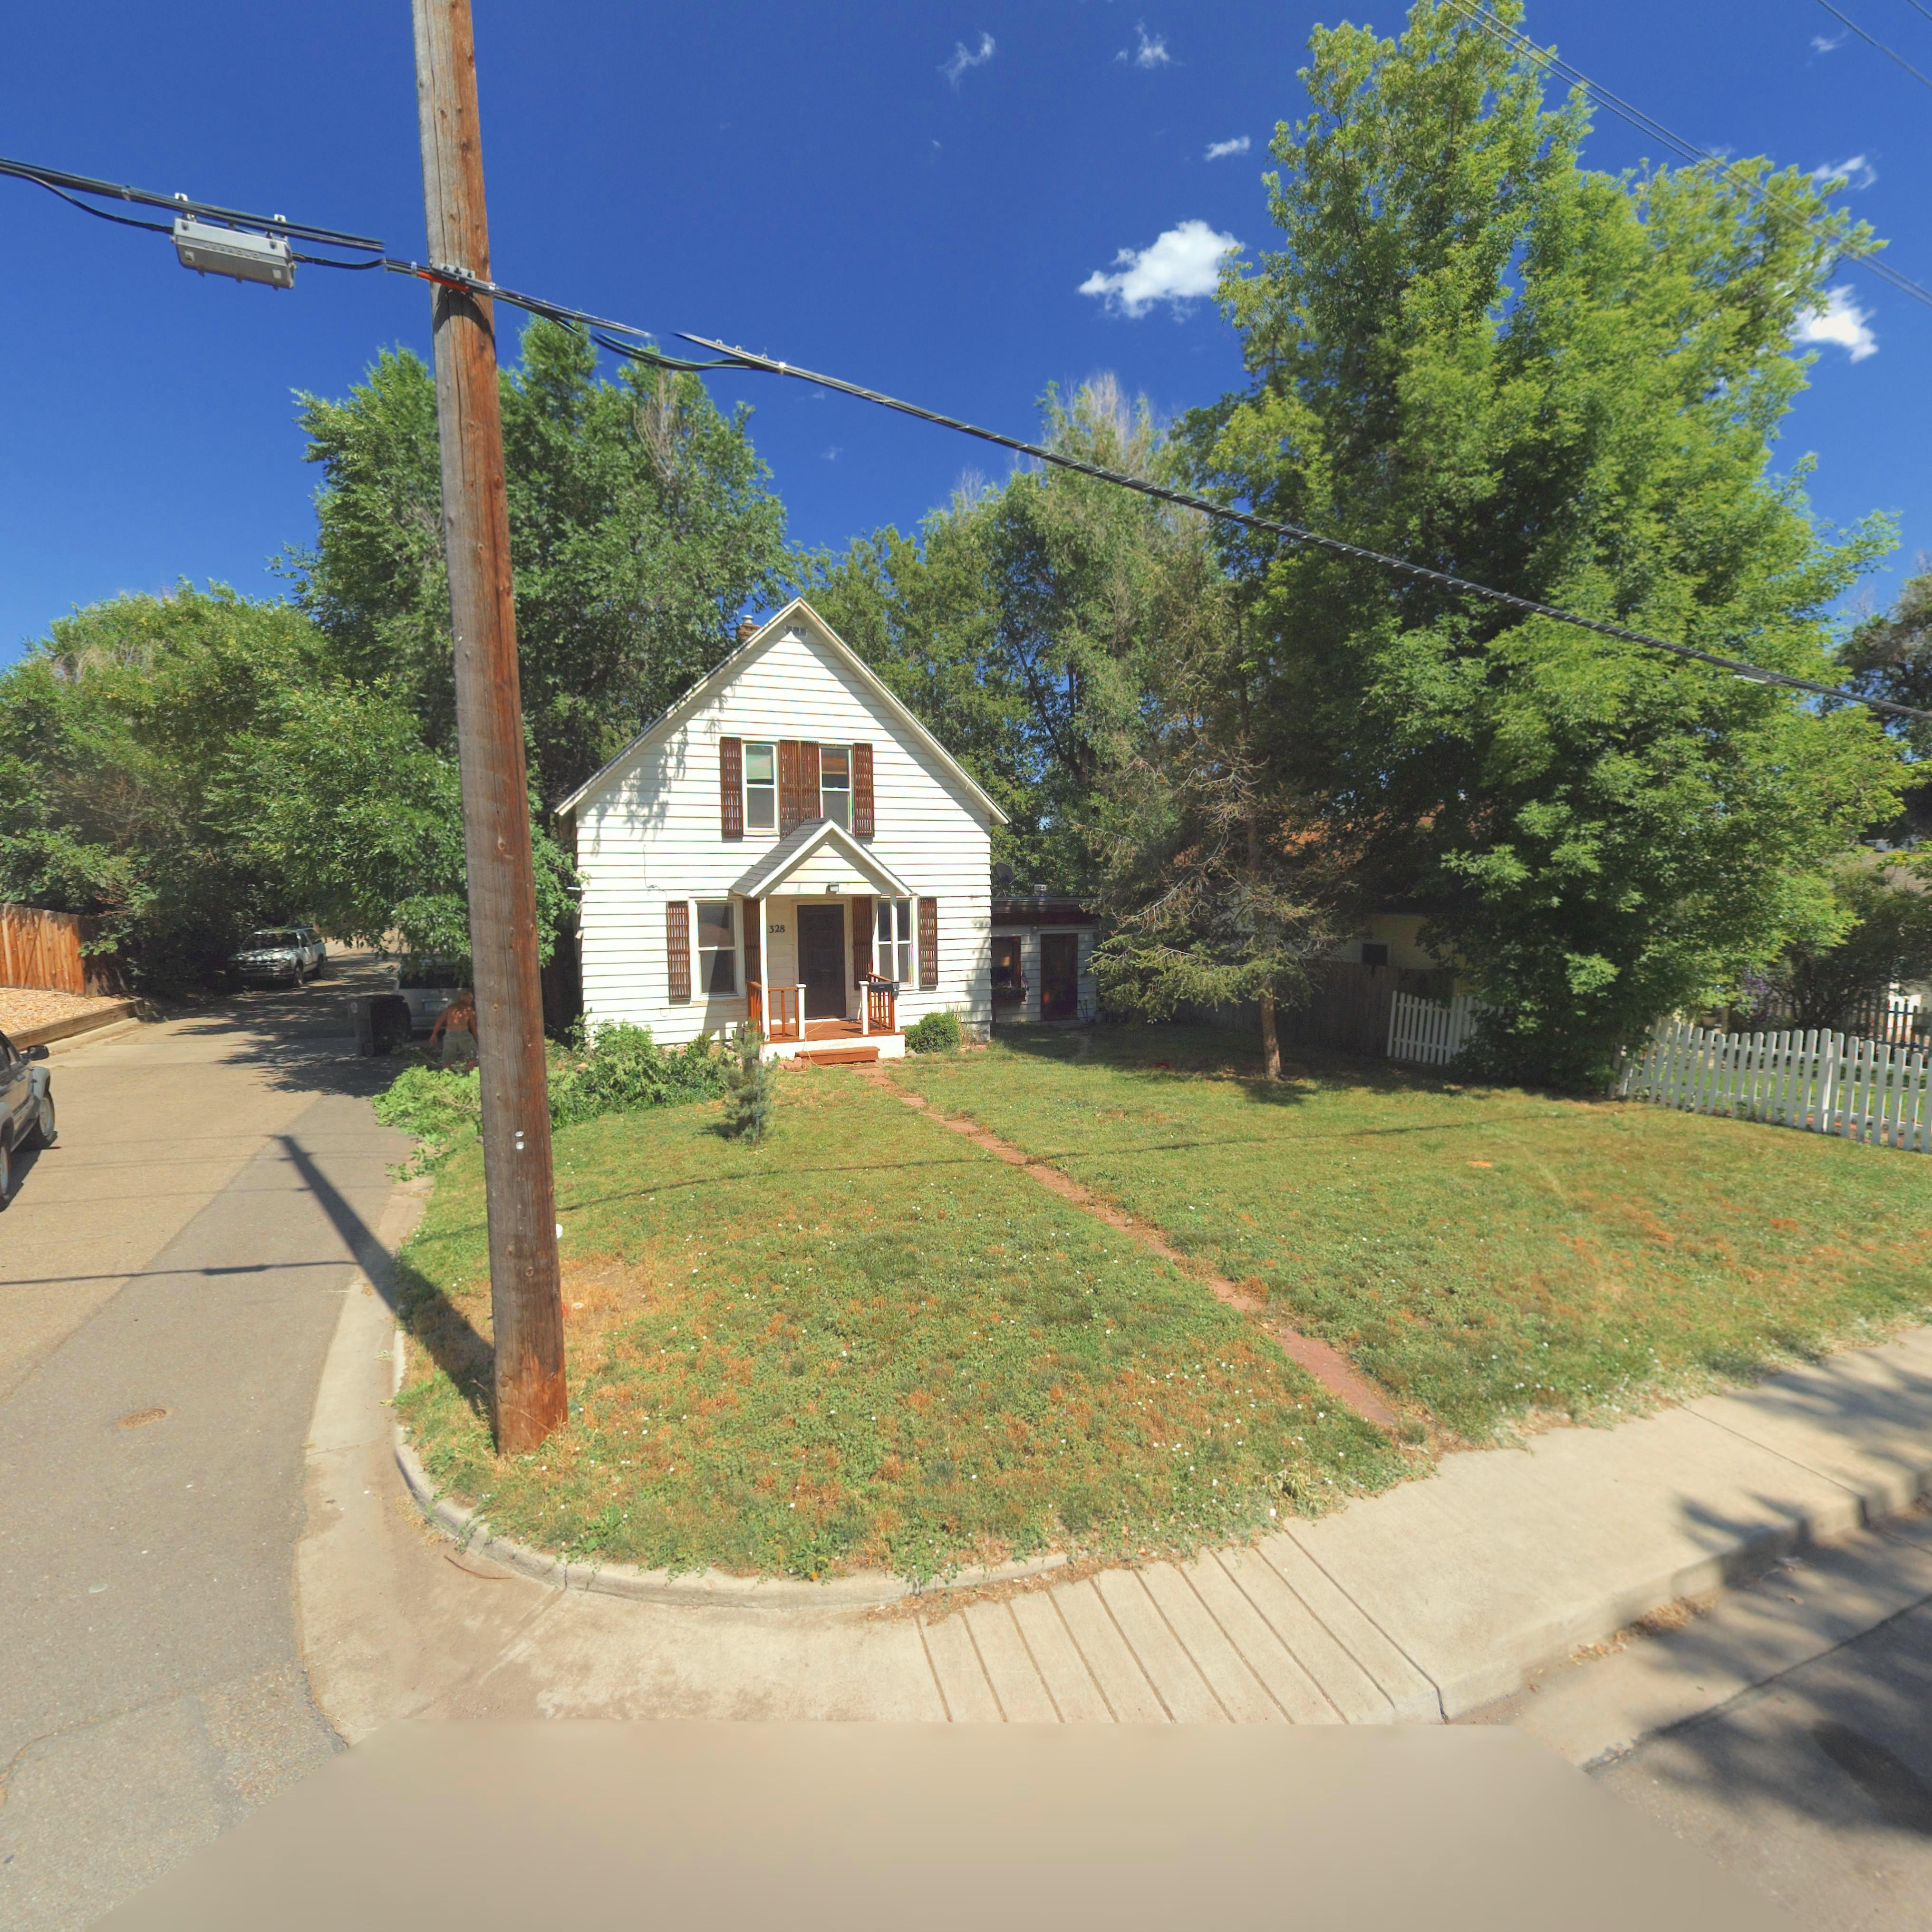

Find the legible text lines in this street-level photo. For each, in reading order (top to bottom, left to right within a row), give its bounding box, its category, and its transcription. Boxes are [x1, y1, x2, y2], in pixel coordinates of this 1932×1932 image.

[768, 924, 785, 933] StreetNumber: 328